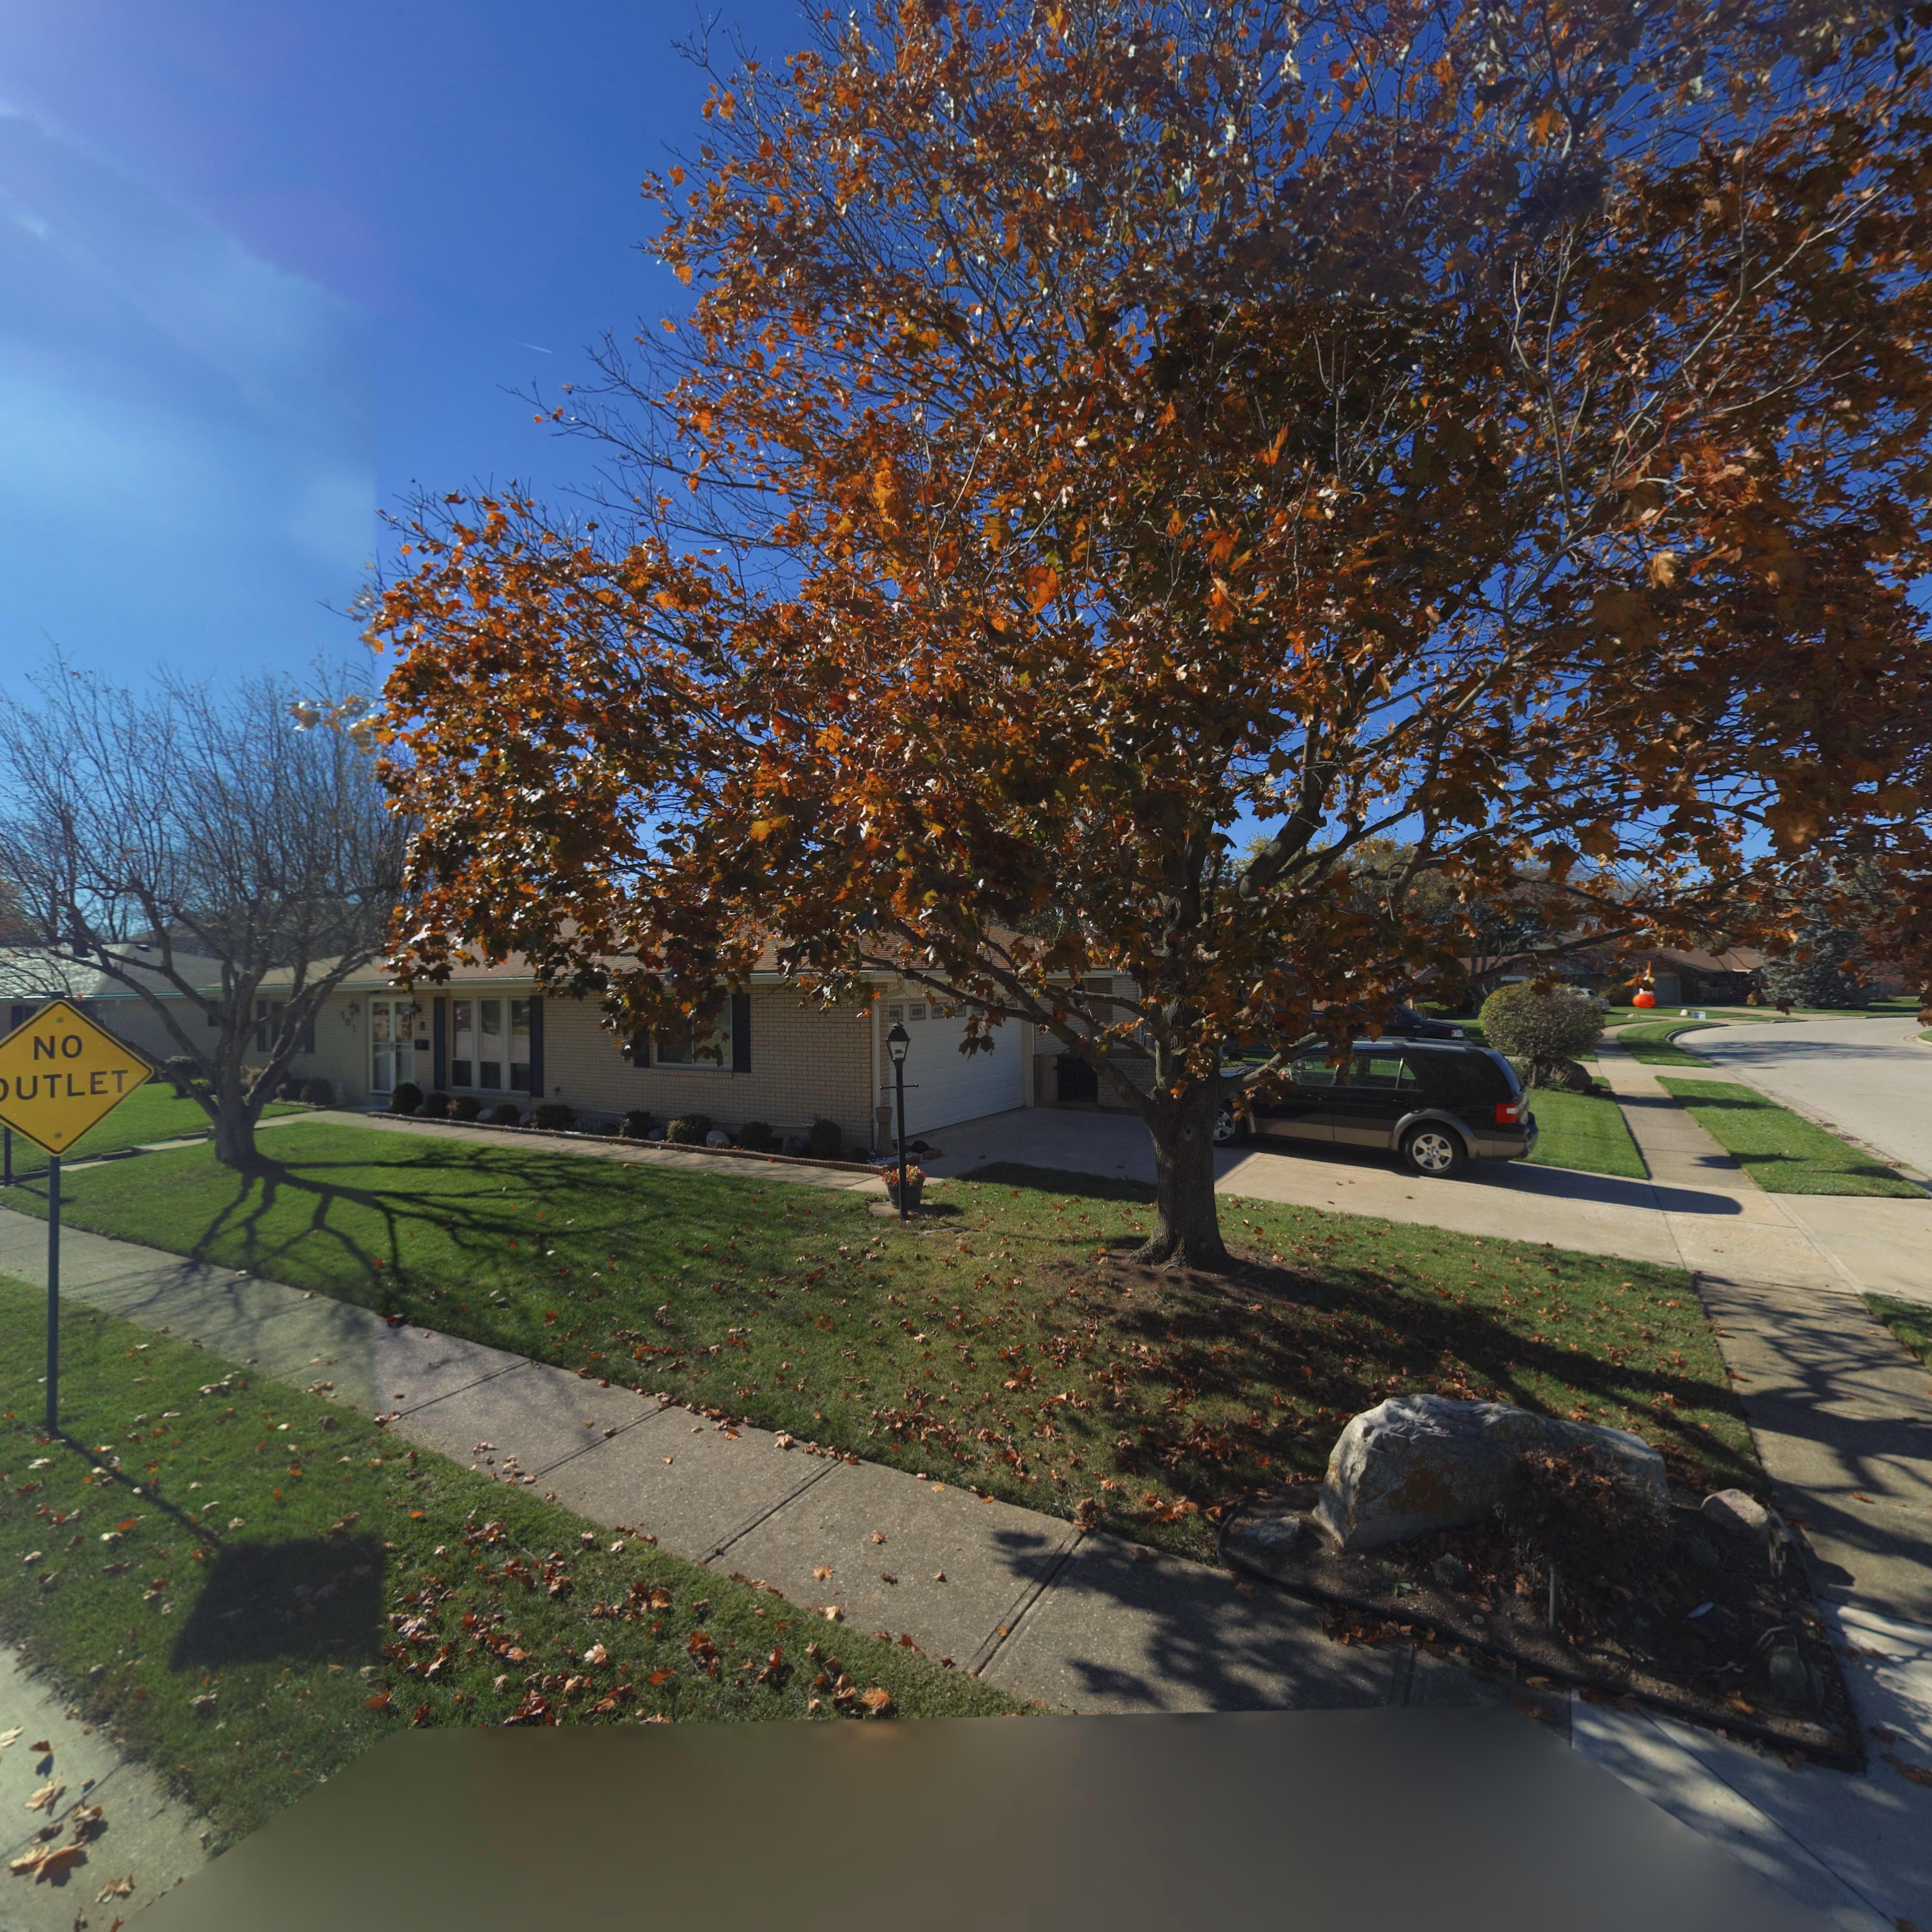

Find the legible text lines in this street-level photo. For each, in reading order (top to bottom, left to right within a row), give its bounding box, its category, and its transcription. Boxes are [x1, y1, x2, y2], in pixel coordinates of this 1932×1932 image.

[338, 1010, 357, 1034] StreetNumber: 701